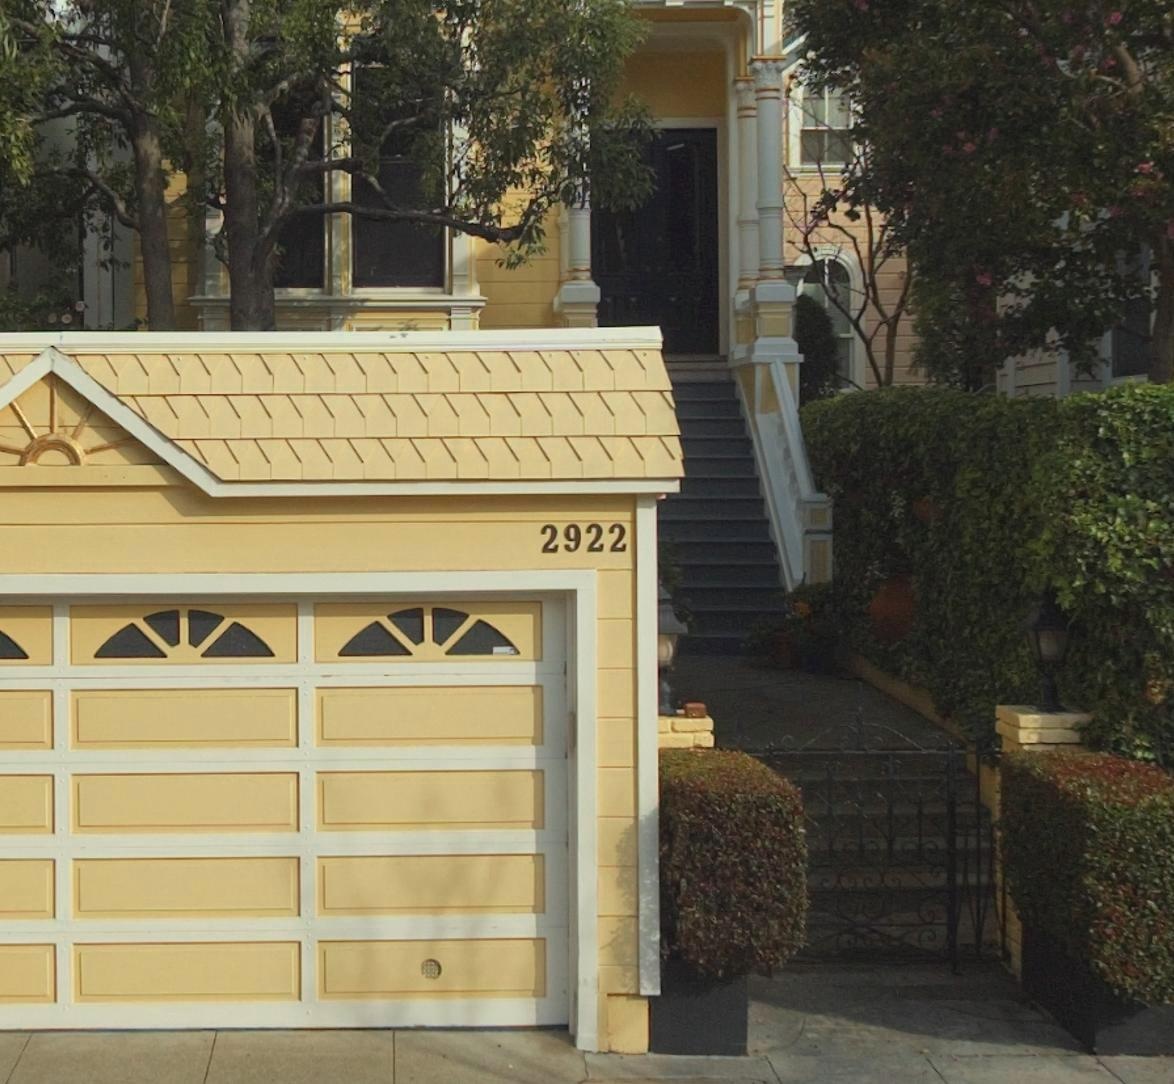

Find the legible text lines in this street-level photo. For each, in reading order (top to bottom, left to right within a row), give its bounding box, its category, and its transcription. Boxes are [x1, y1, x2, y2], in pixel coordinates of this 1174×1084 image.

[538, 520, 629, 556] StreetNumber: 2922